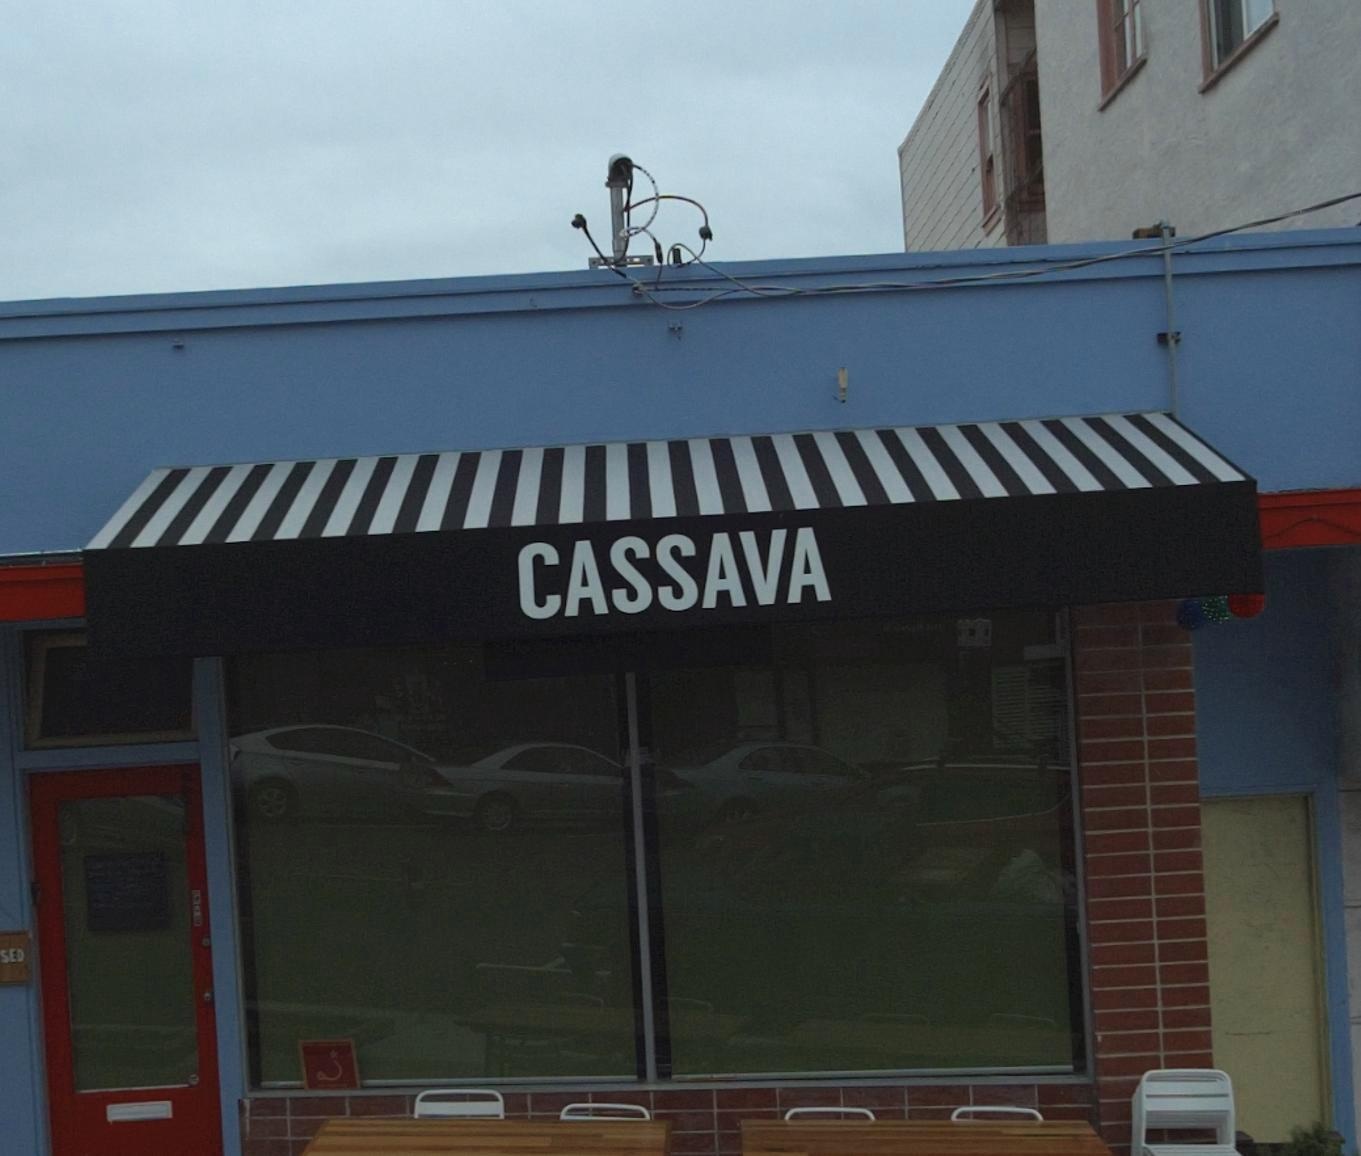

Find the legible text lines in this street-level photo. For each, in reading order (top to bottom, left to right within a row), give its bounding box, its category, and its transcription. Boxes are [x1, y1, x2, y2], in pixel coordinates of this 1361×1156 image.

[514, 521, 839, 626] BusinessName: CASSAVA
[7, 947, 27, 964] None: ED